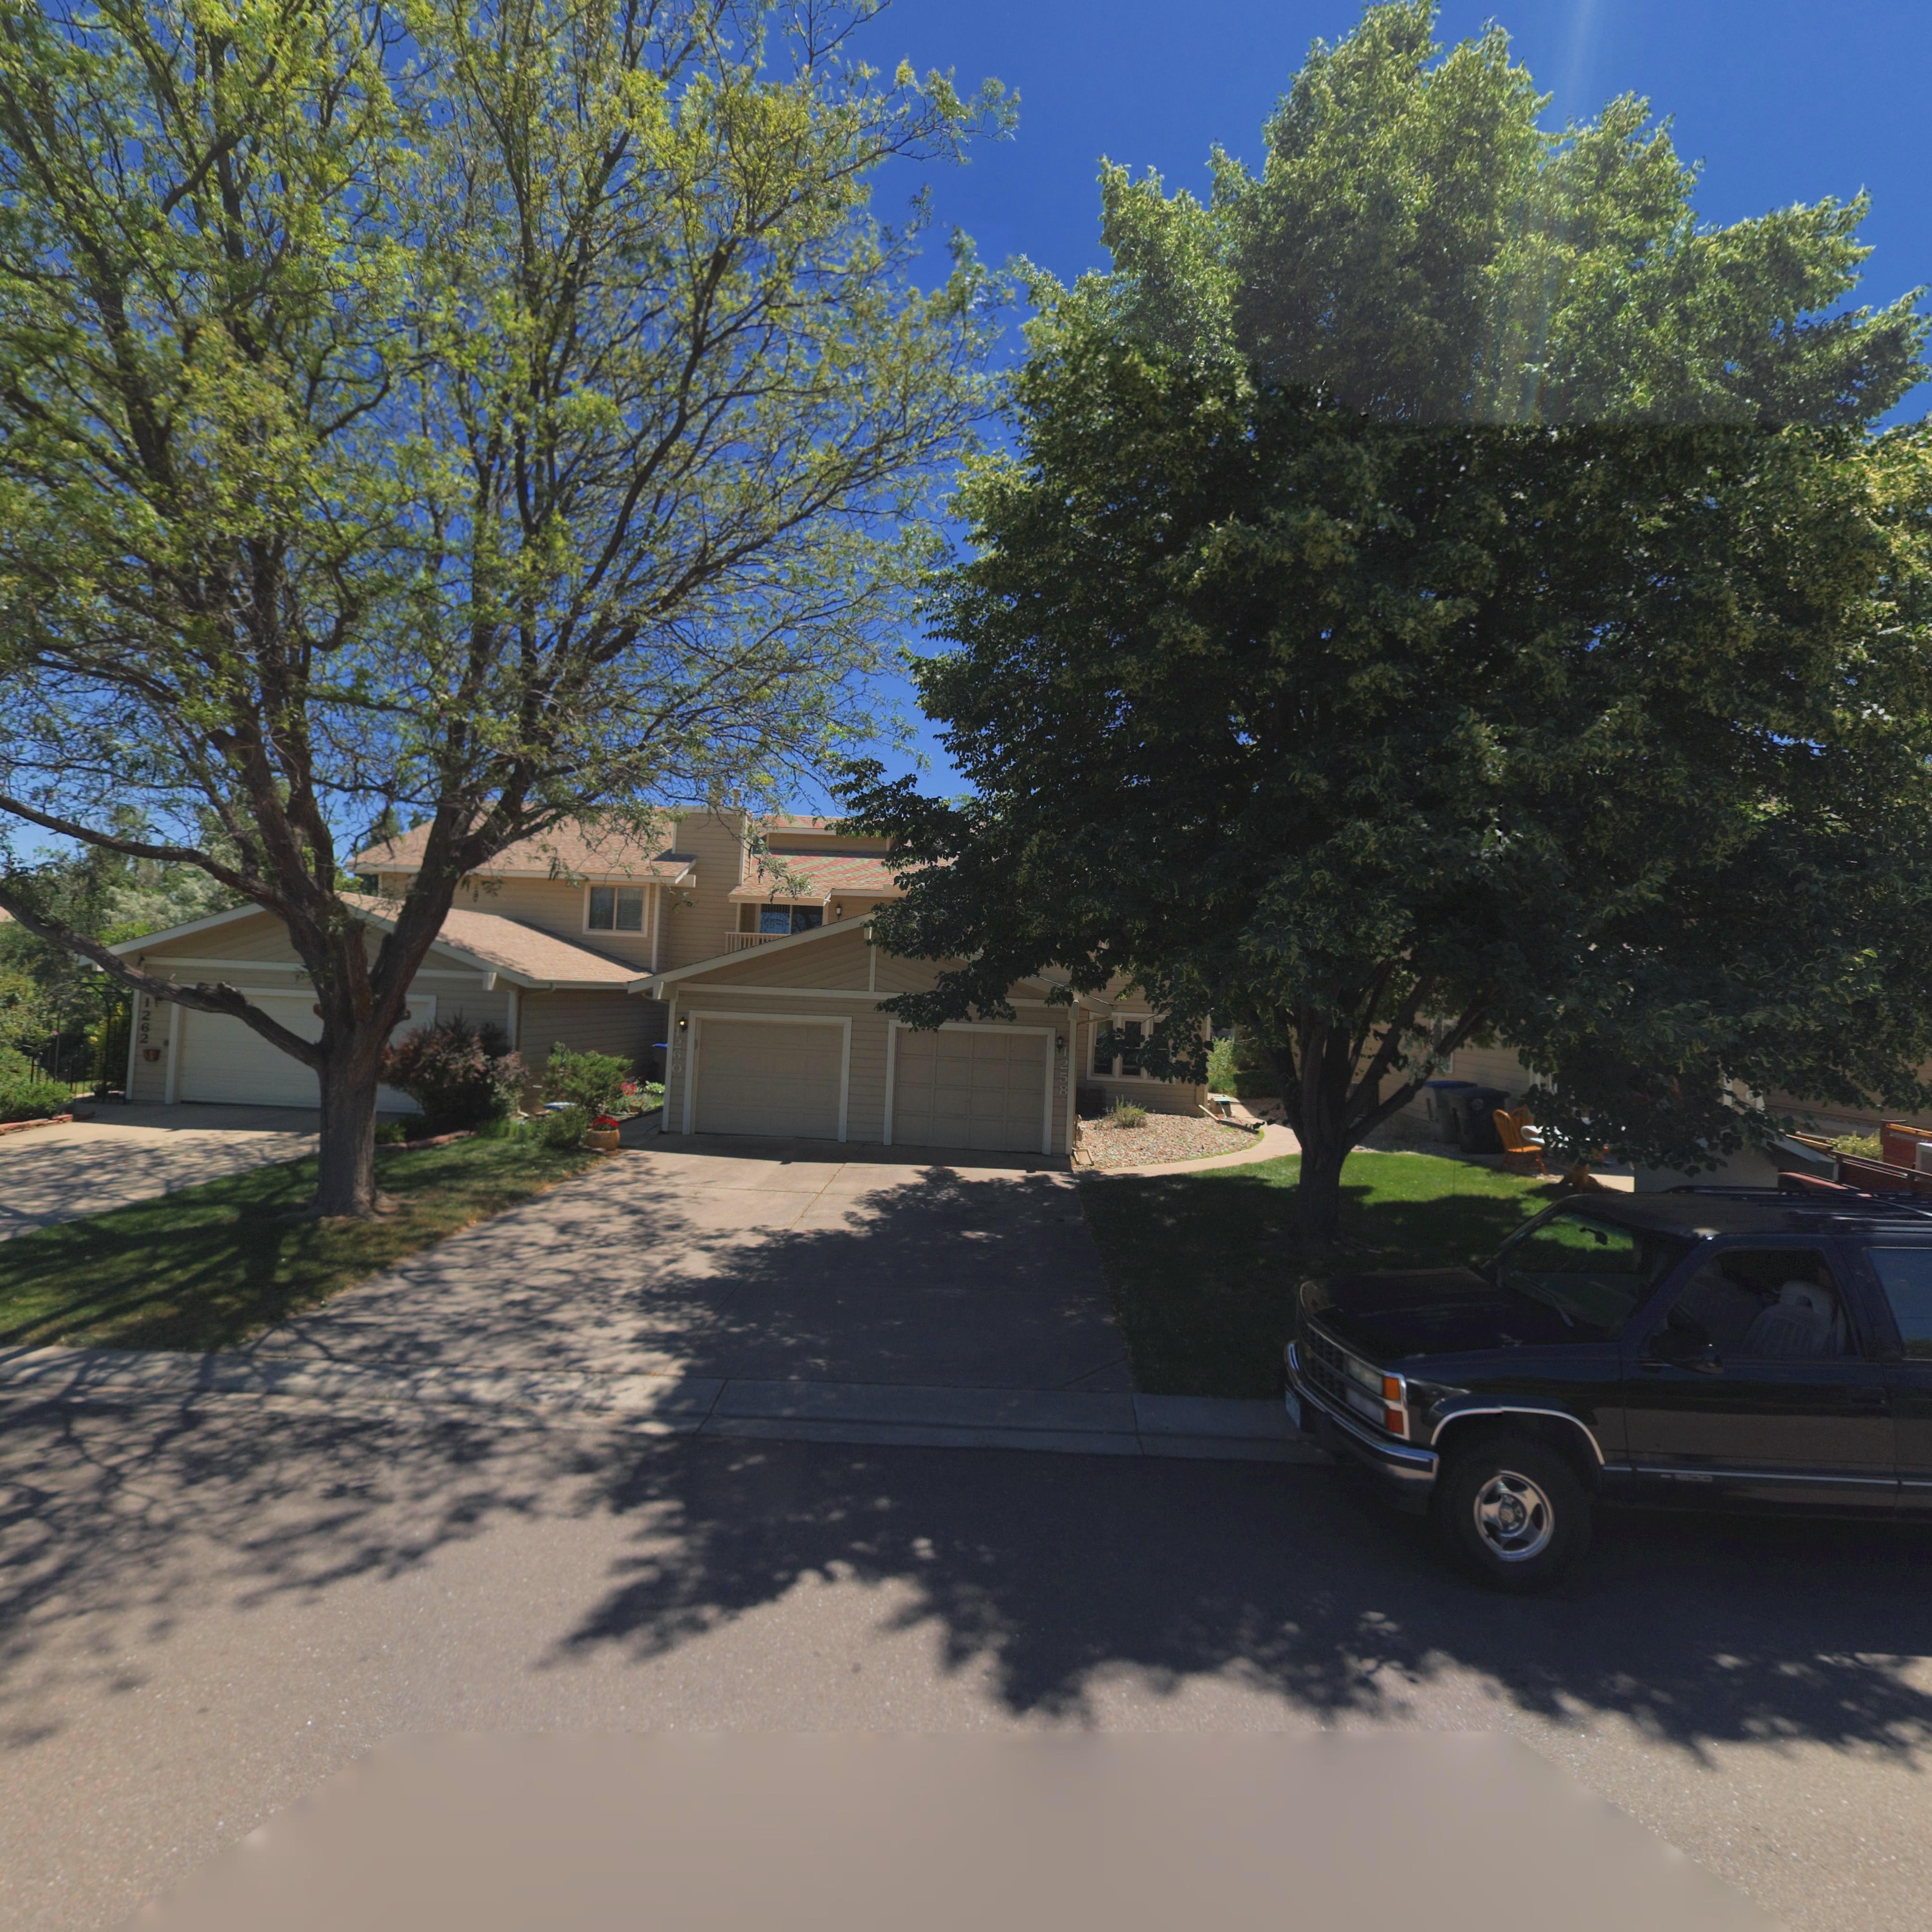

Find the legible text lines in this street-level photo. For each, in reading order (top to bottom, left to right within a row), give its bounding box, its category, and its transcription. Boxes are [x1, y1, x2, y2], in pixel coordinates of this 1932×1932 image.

[138, 996, 151, 1043] StreetNumber: 1262
[672, 1026, 683, 1074] StreetNumber: 1260
[1059, 1045, 1069, 1096] StreetNumber: 1258